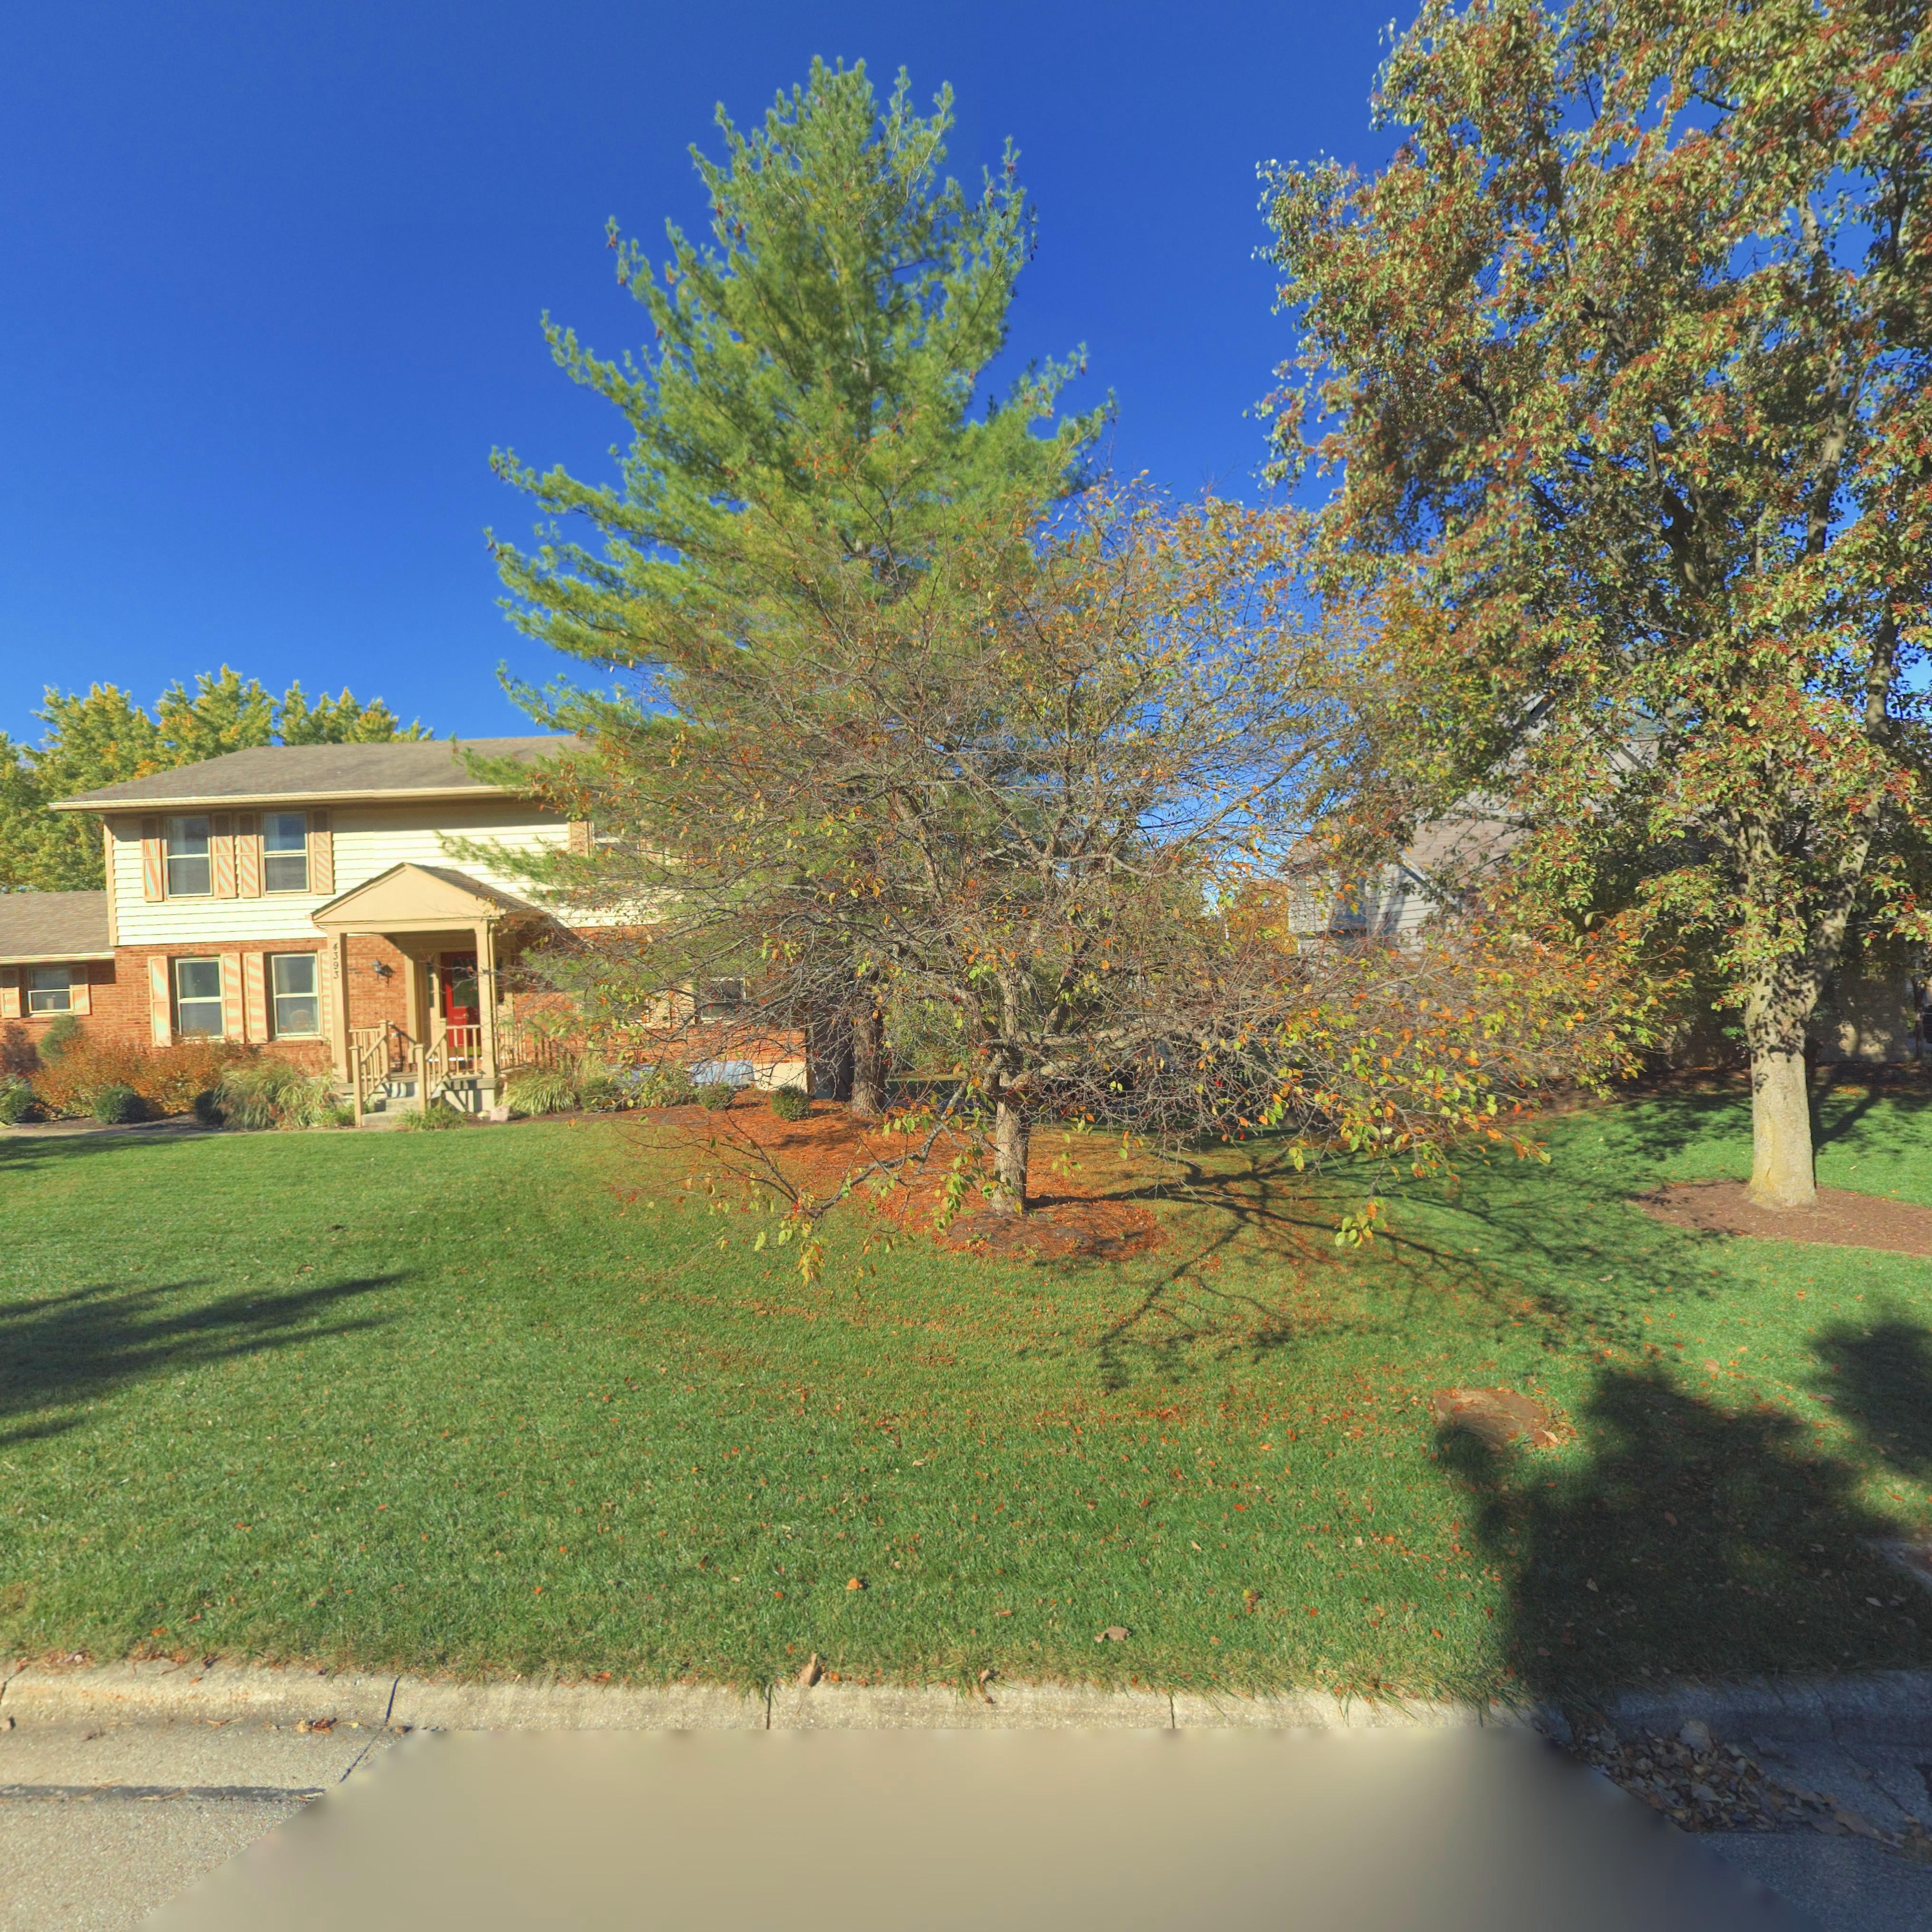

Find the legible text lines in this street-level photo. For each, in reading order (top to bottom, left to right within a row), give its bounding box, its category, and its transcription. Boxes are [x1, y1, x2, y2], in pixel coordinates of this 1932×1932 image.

[331, 942, 339, 979] StreetNumber: 4393